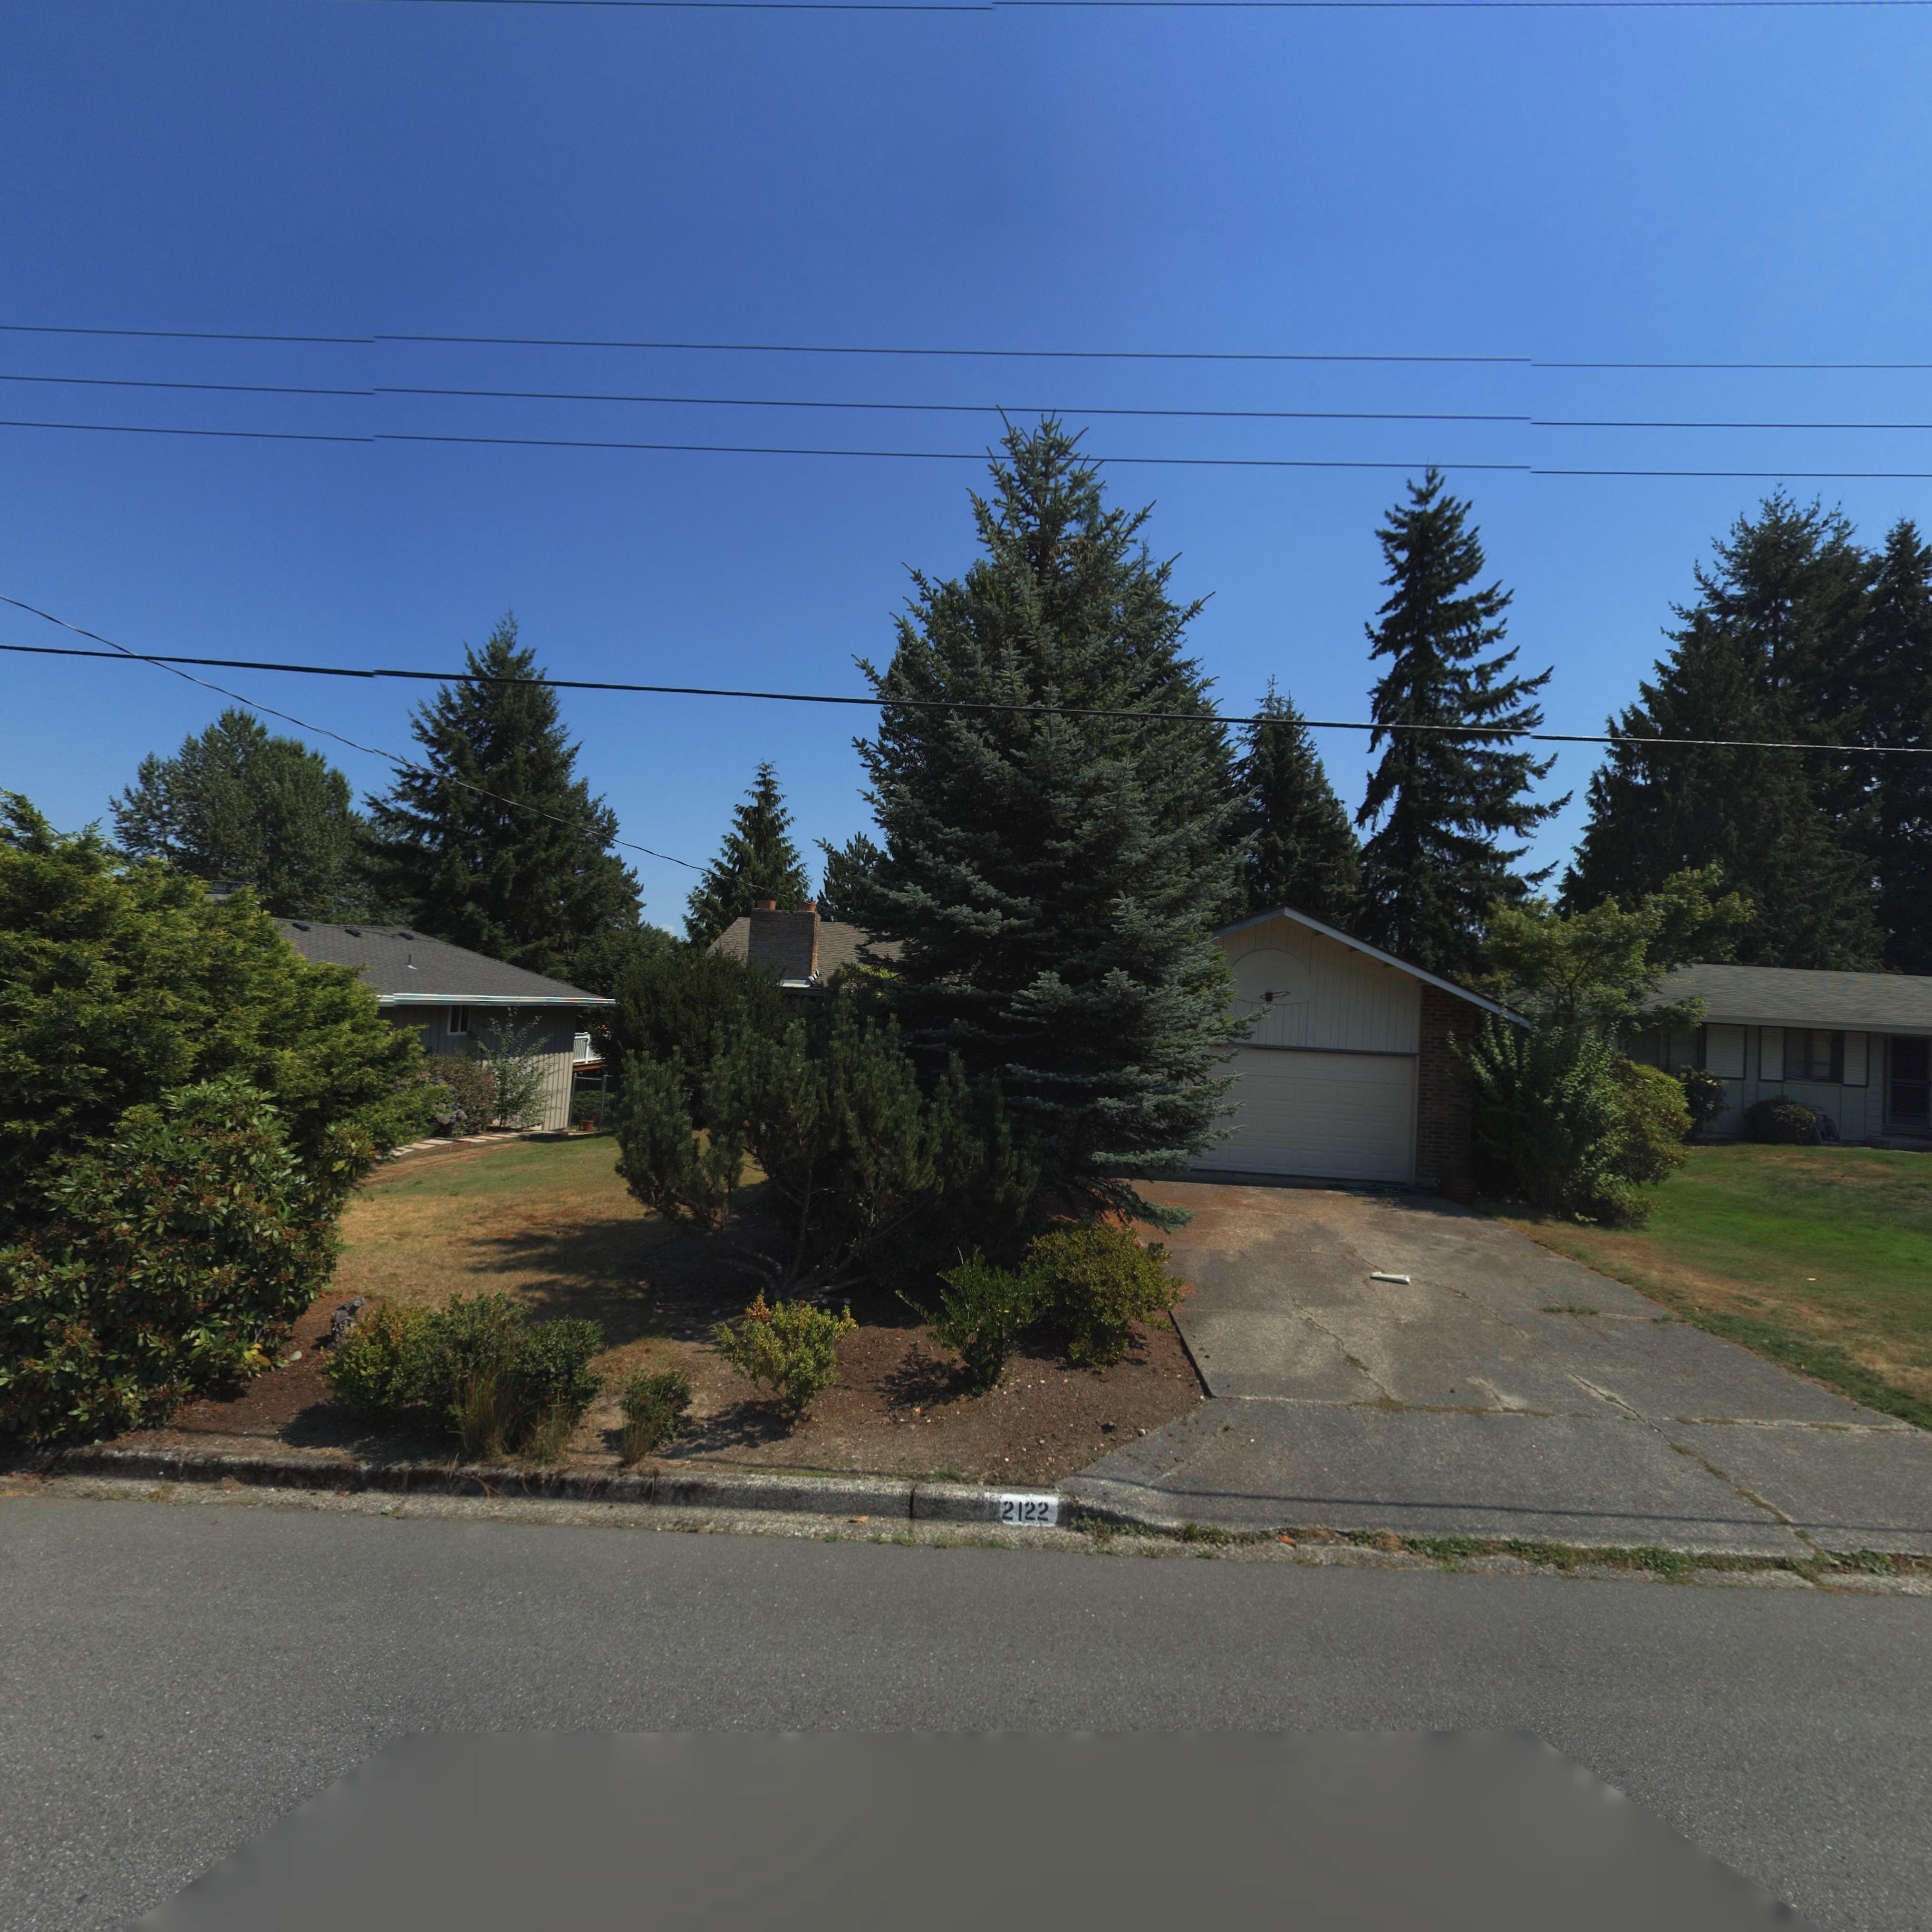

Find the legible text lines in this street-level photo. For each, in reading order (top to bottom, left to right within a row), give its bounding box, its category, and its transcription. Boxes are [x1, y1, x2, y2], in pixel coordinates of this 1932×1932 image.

[998, 1496, 1055, 1525] StreetNumber: 2122